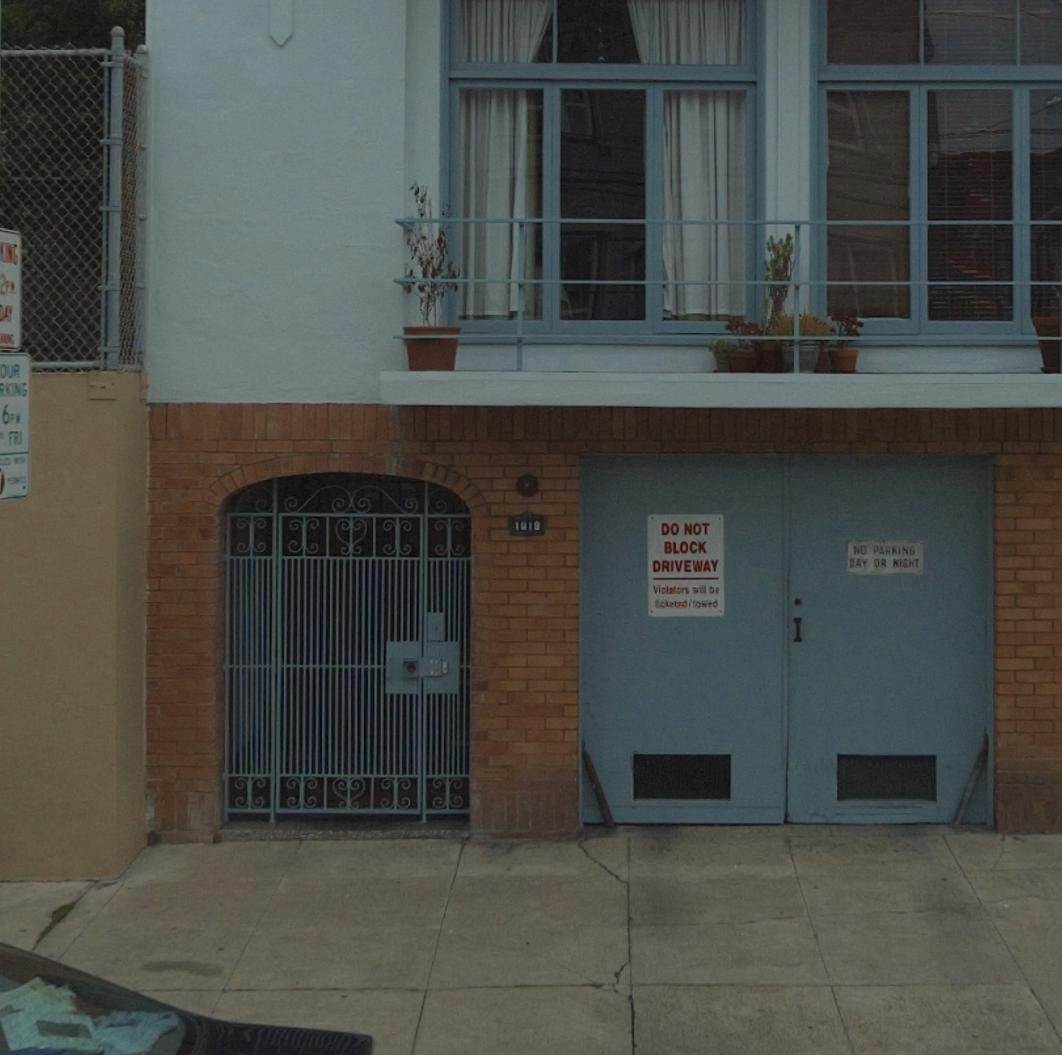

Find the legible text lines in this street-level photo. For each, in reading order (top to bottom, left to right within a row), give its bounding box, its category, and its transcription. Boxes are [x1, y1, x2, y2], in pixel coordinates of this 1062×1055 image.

[0, 239, 20, 268] None: KING
[0, 361, 21, 381] None: OUR
[0, 381, 28, 398] None: RKING
[1, 401, 11, 426] None: 6
[6, 428, 25, 448] None: FRI
[513, 519, 542, 533] StreetNumber: 1019
[659, 522, 711, 536] None: DO NOT
[662, 540, 708, 555] None: BLOCK
[852, 543, 917, 556] None: NO PARKING
[651, 558, 719, 573] None: DRIVEWAY
[847, 557, 922, 570] None: DAY OR NIGHT
[651, 584, 720, 595] None: Violators will be
[654, 597, 720, 609] None: ticketed/towed